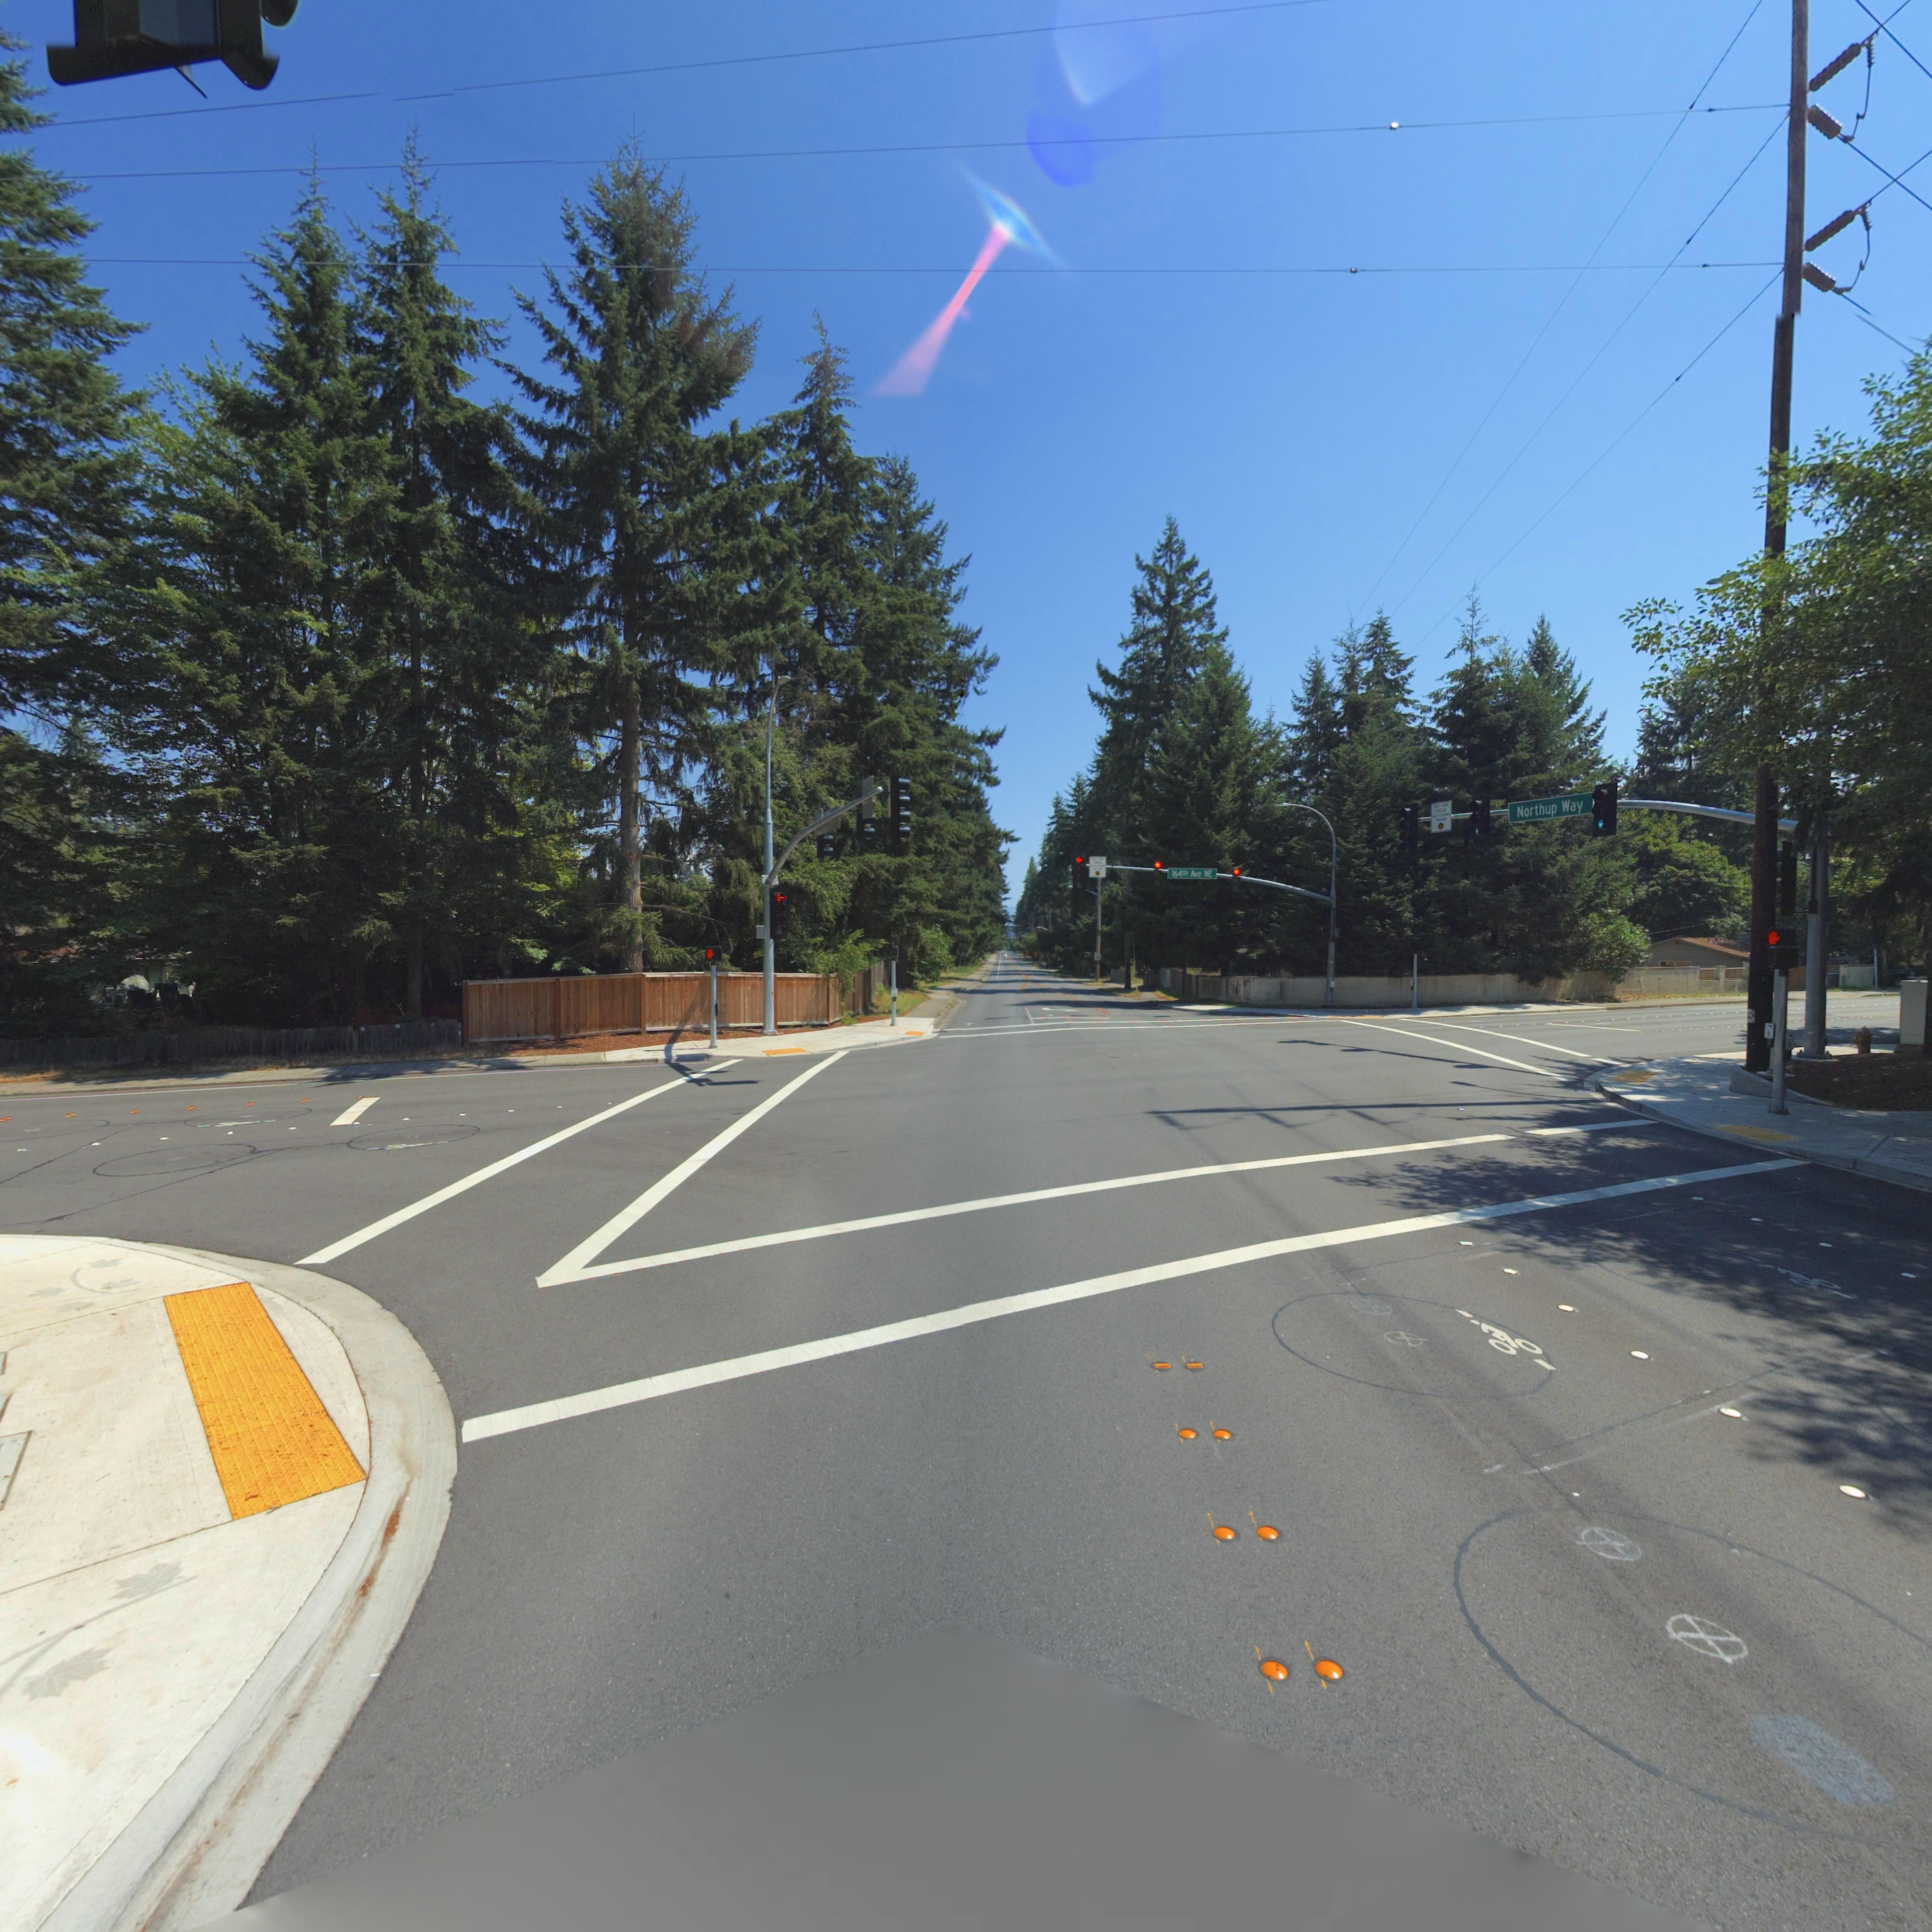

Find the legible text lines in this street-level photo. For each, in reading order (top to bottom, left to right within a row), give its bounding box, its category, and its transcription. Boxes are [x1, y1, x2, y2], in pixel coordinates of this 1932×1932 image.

[1512, 797, 1587, 820] StreetName: Nothup Way
[1169, 869, 1214, 880] StreetName: 164** Ave NE